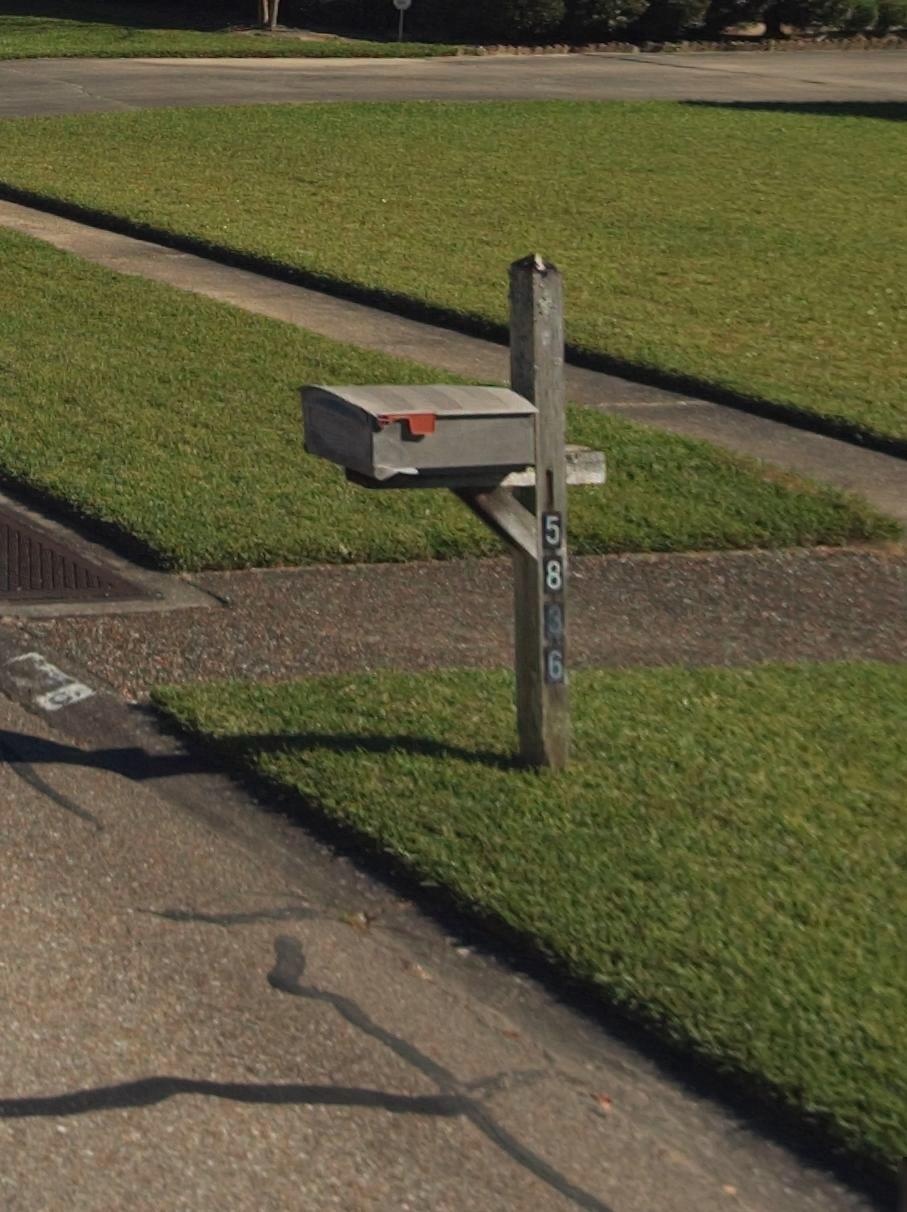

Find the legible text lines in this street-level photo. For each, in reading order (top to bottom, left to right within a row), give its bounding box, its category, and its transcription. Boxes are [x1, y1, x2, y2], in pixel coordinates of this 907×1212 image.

[543, 512, 565, 683] StreetNumber: 5836
[43, 683, 85, 713] StreetNumber: 6